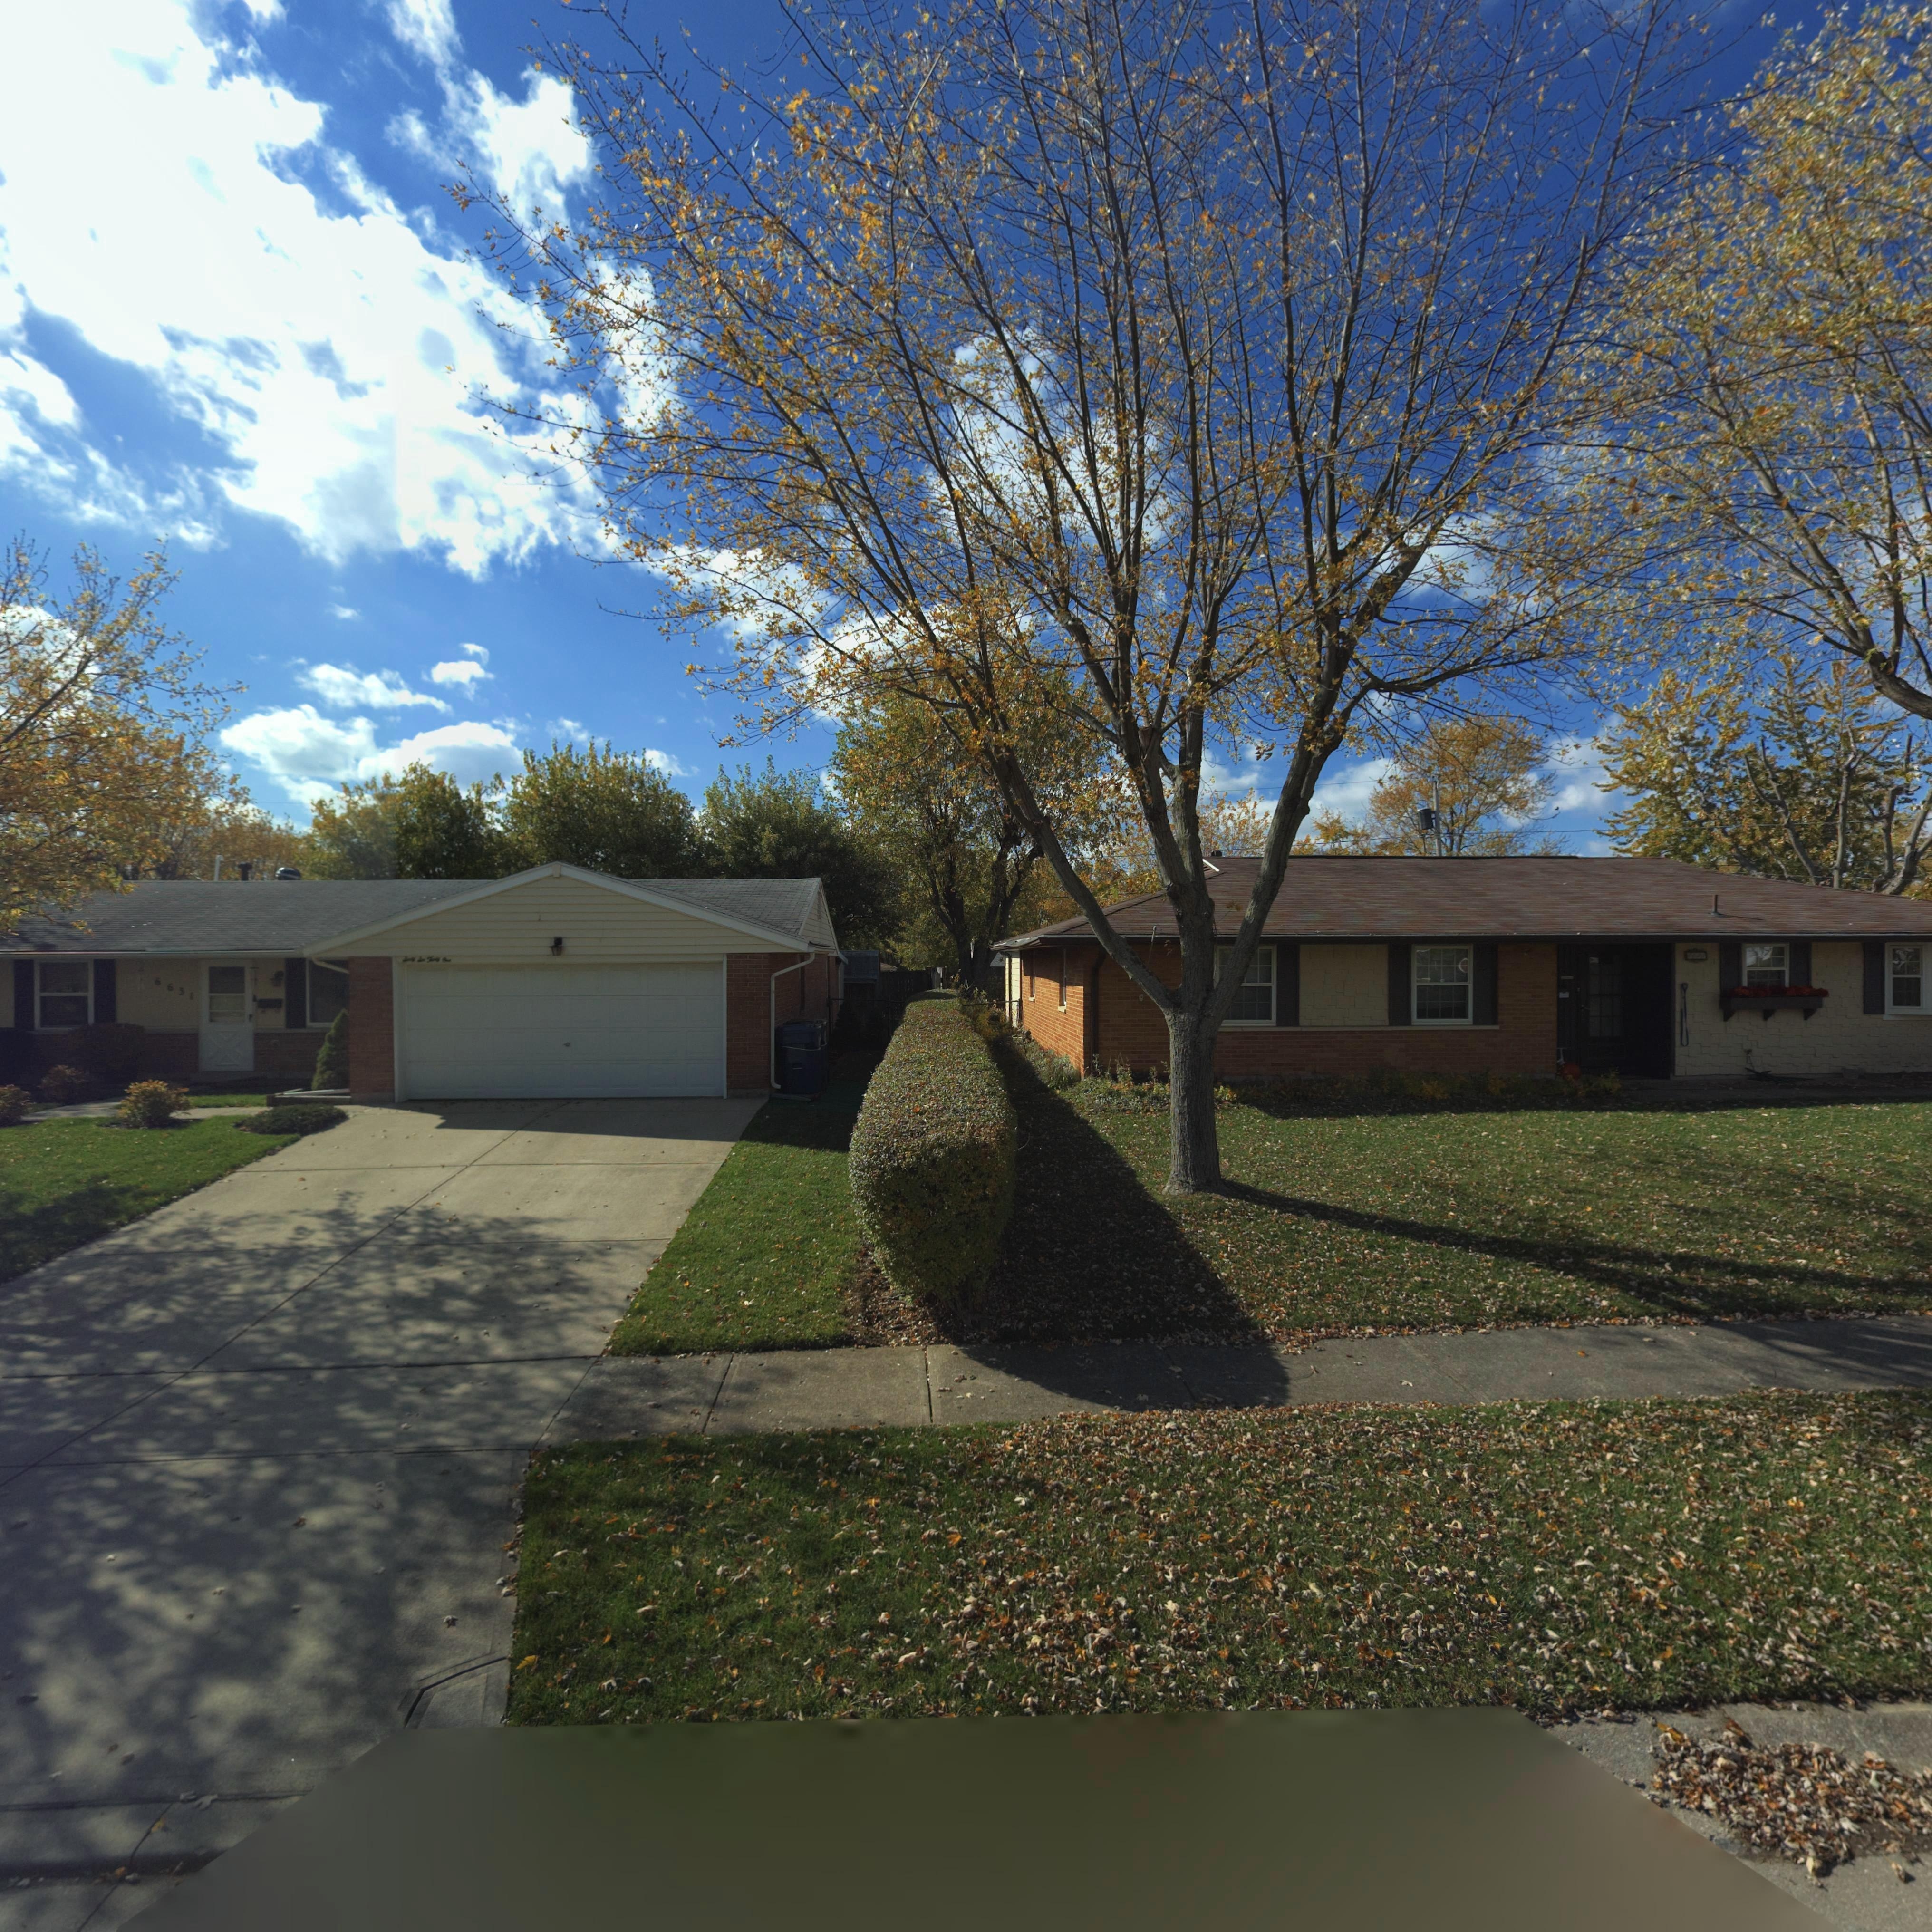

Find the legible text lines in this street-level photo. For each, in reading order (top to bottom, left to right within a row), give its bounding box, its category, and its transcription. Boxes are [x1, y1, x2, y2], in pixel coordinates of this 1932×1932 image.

[401, 955, 453, 963] StreetNumber: Sixty Six Thirty One
[1687, 952, 1705, 958] StreetNumber: 66*1
[153, 976, 194, 1001] StreetNumber: 6631